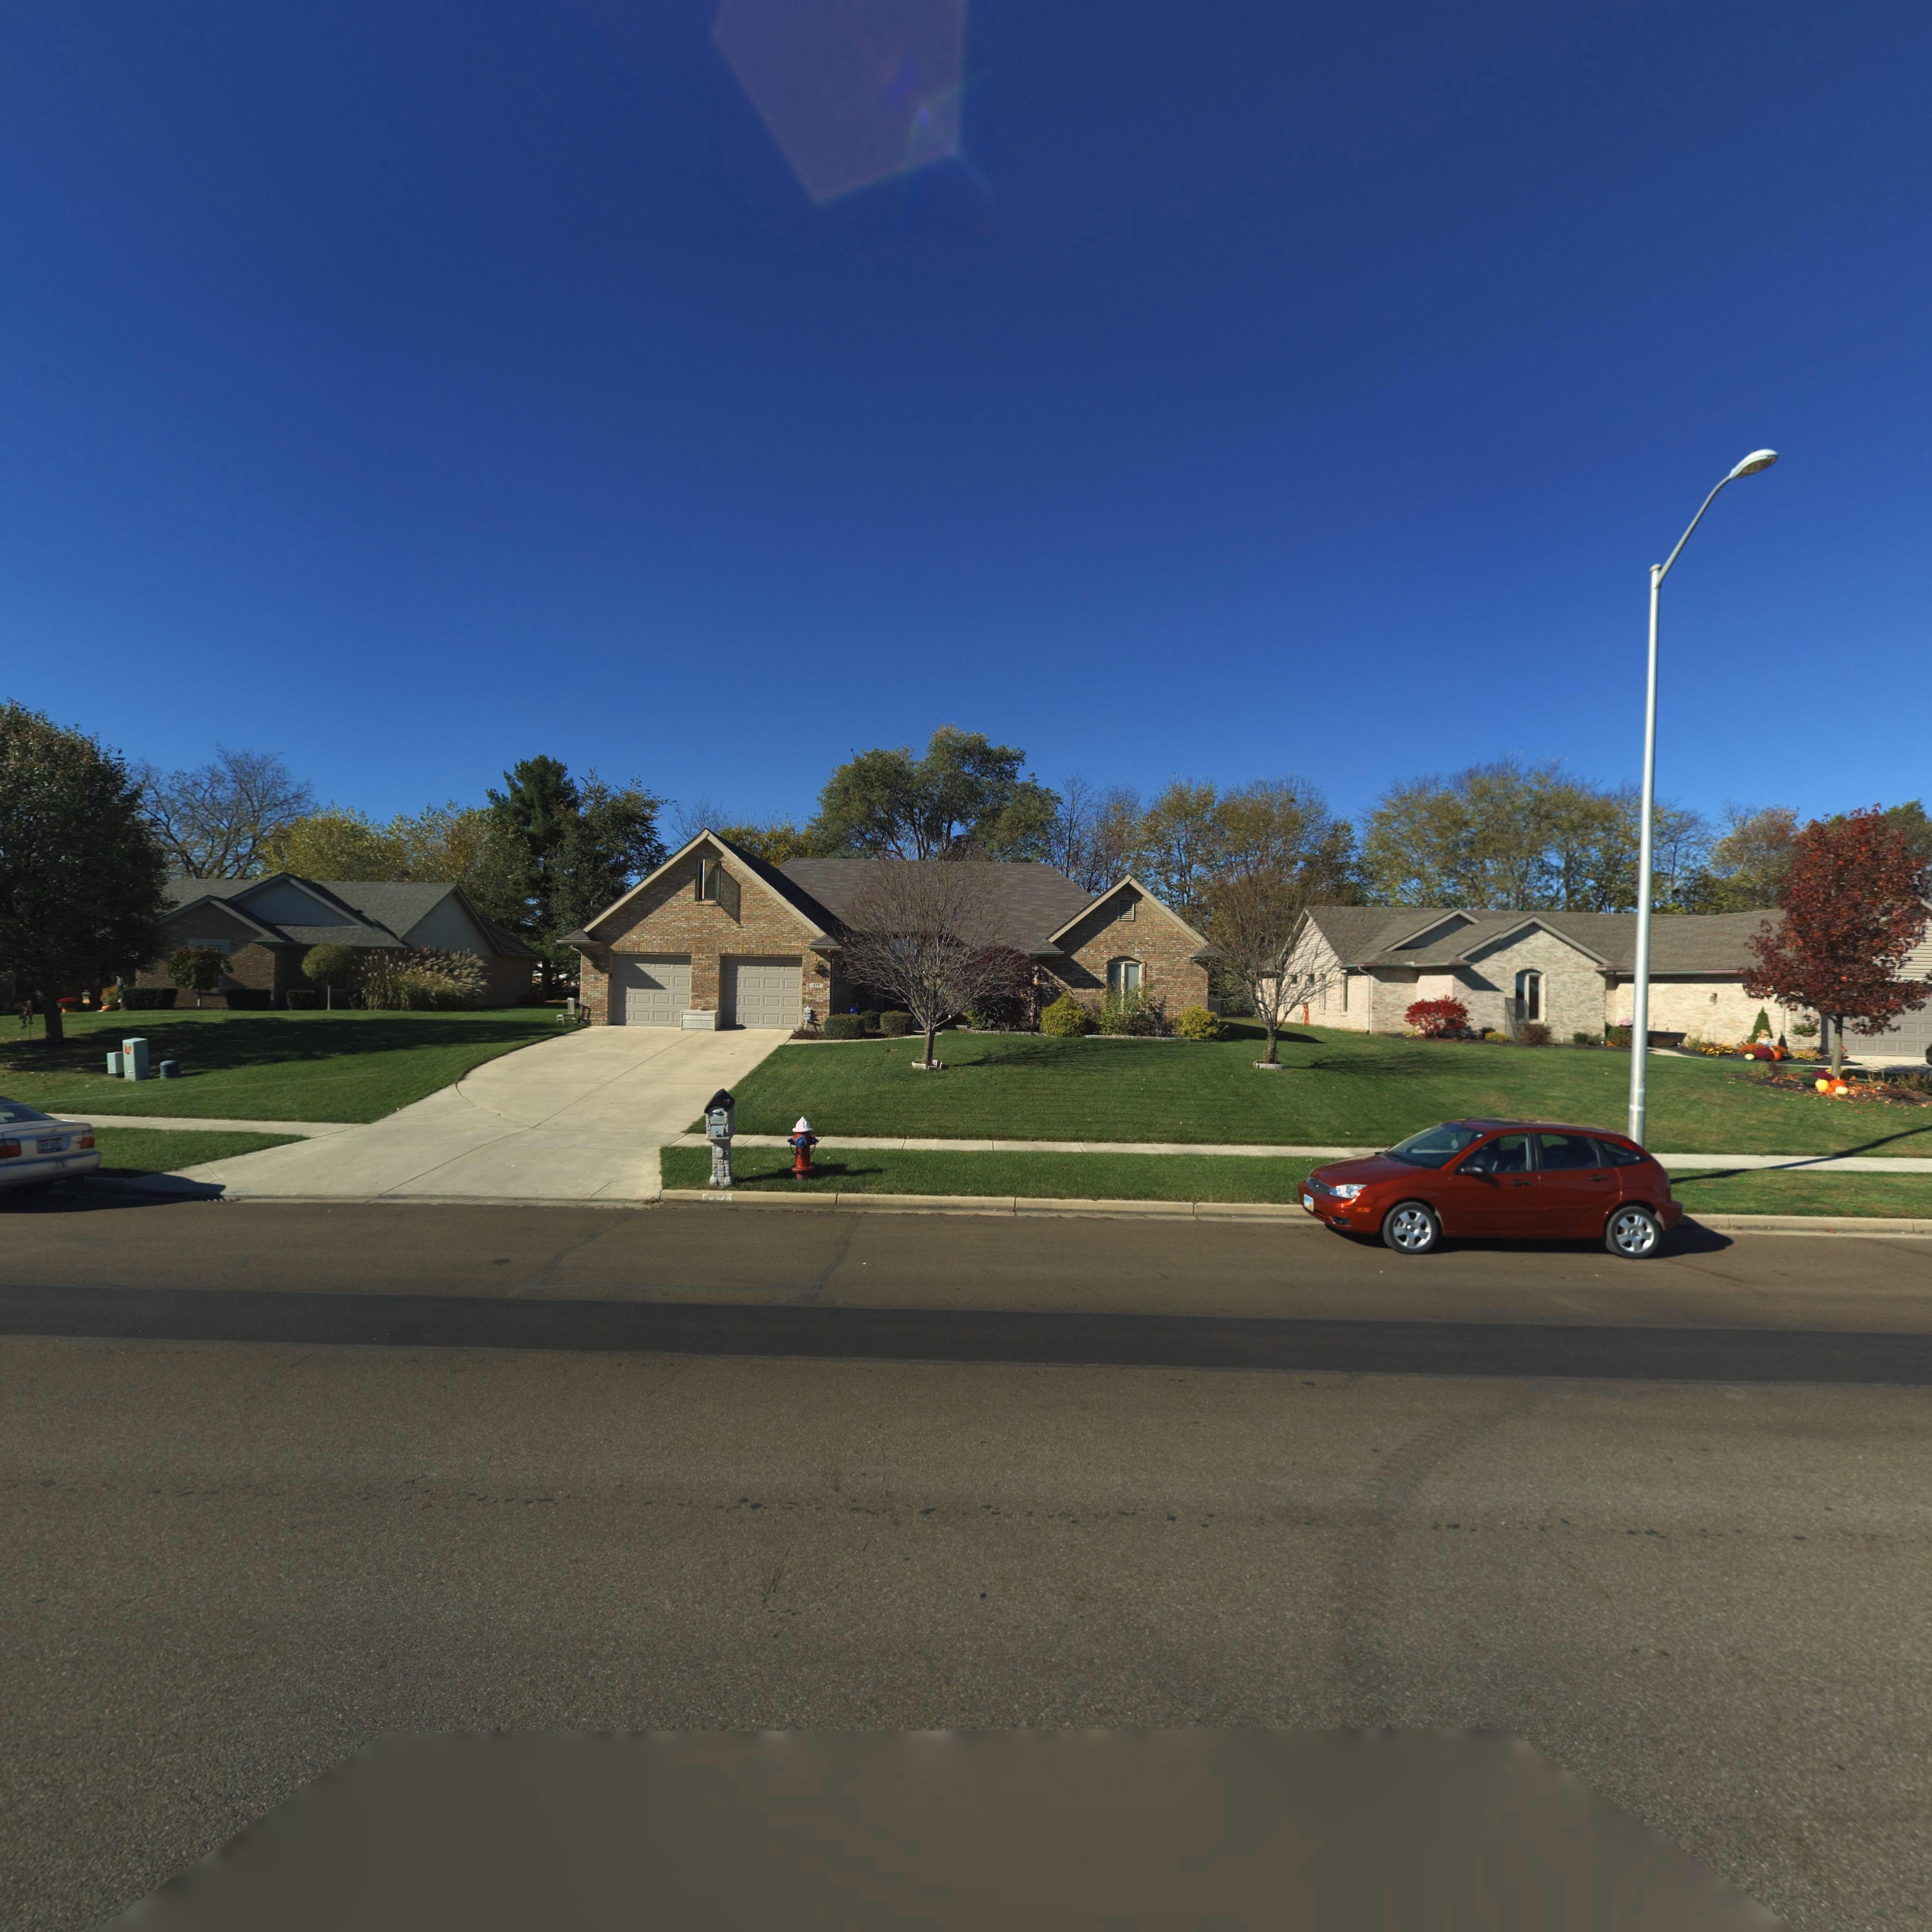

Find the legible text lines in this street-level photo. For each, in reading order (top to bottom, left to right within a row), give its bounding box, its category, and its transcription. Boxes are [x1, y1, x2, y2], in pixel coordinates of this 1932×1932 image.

[812, 984, 821, 987] StreetNumber: 377
[713, 1194, 728, 1200] StreetNumber: 77